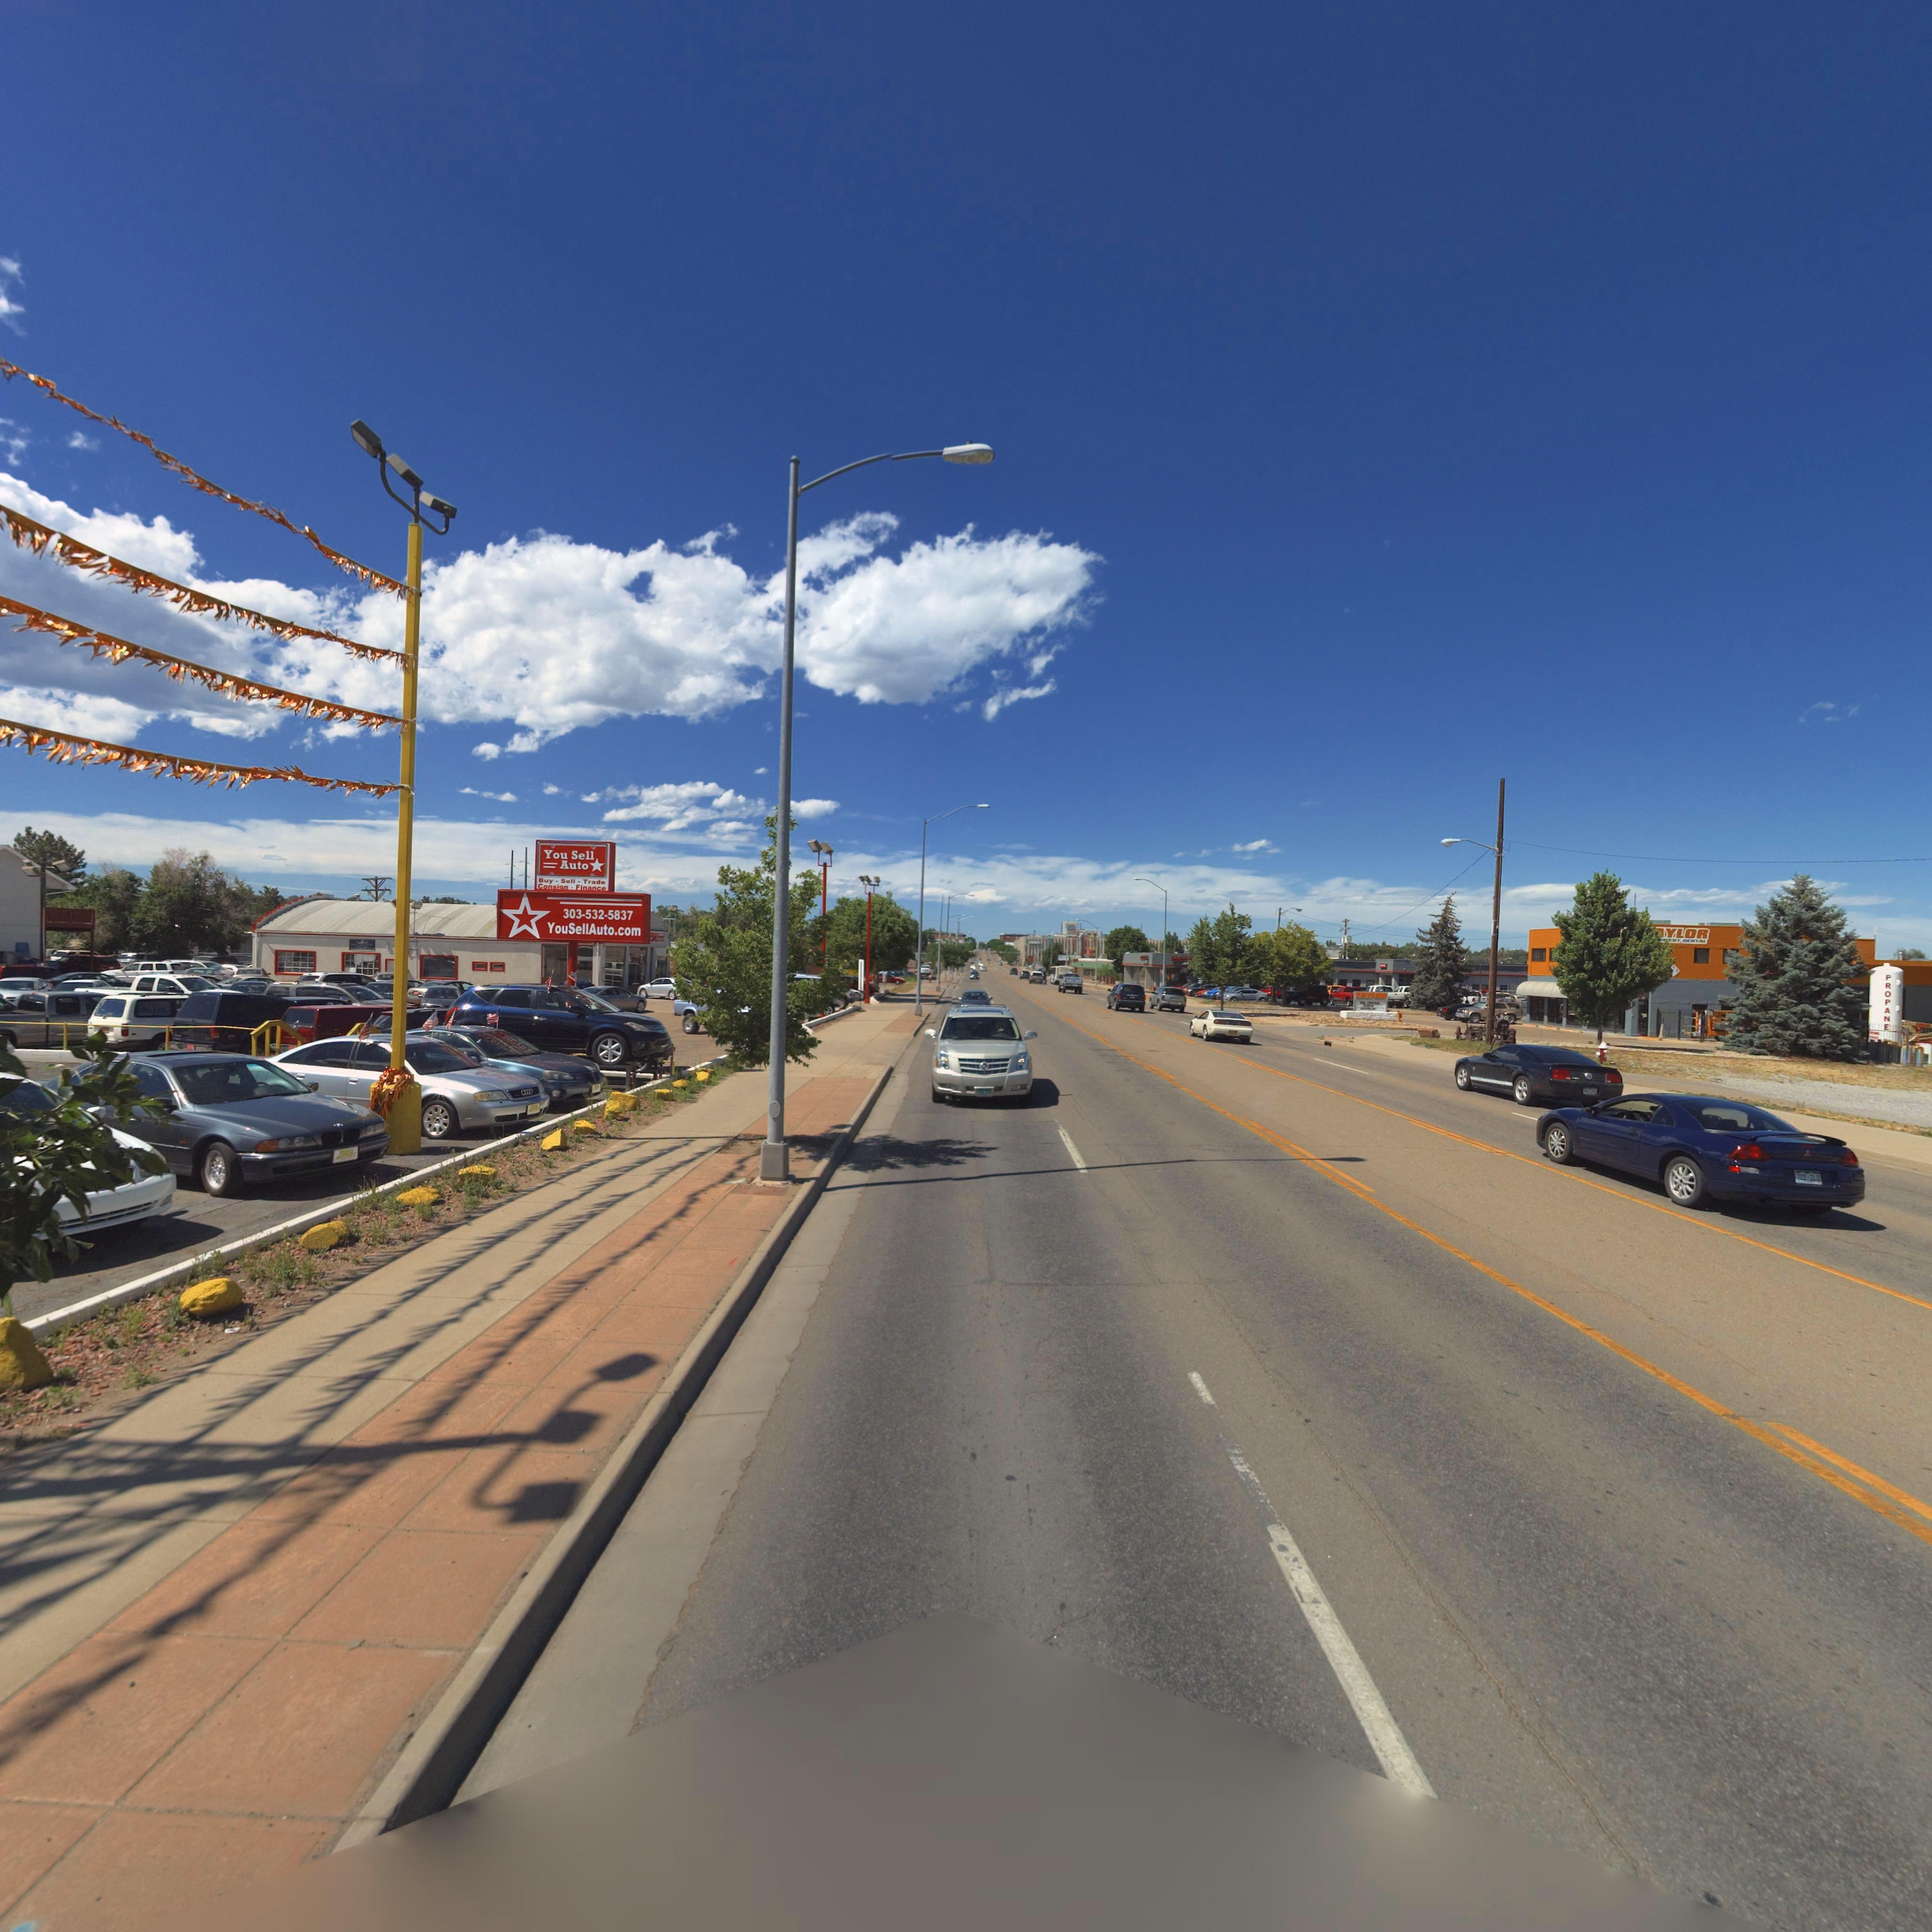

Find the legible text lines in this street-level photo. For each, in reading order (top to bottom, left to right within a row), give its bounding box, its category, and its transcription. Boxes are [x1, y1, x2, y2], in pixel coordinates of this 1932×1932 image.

[543, 849, 594, 860] BusinessName: You Sell
[559, 860, 589, 870] BusinessName: Auto
[1665, 927, 1709, 939] BusinessName: YLOR
[1668, 938, 1706, 943] BusinessName: *NT RENTAL
[1355, 992, 1388, 999] BusinessName: TAYL**
[1494, 1014, 1510, 1021] StreetNumber: 136